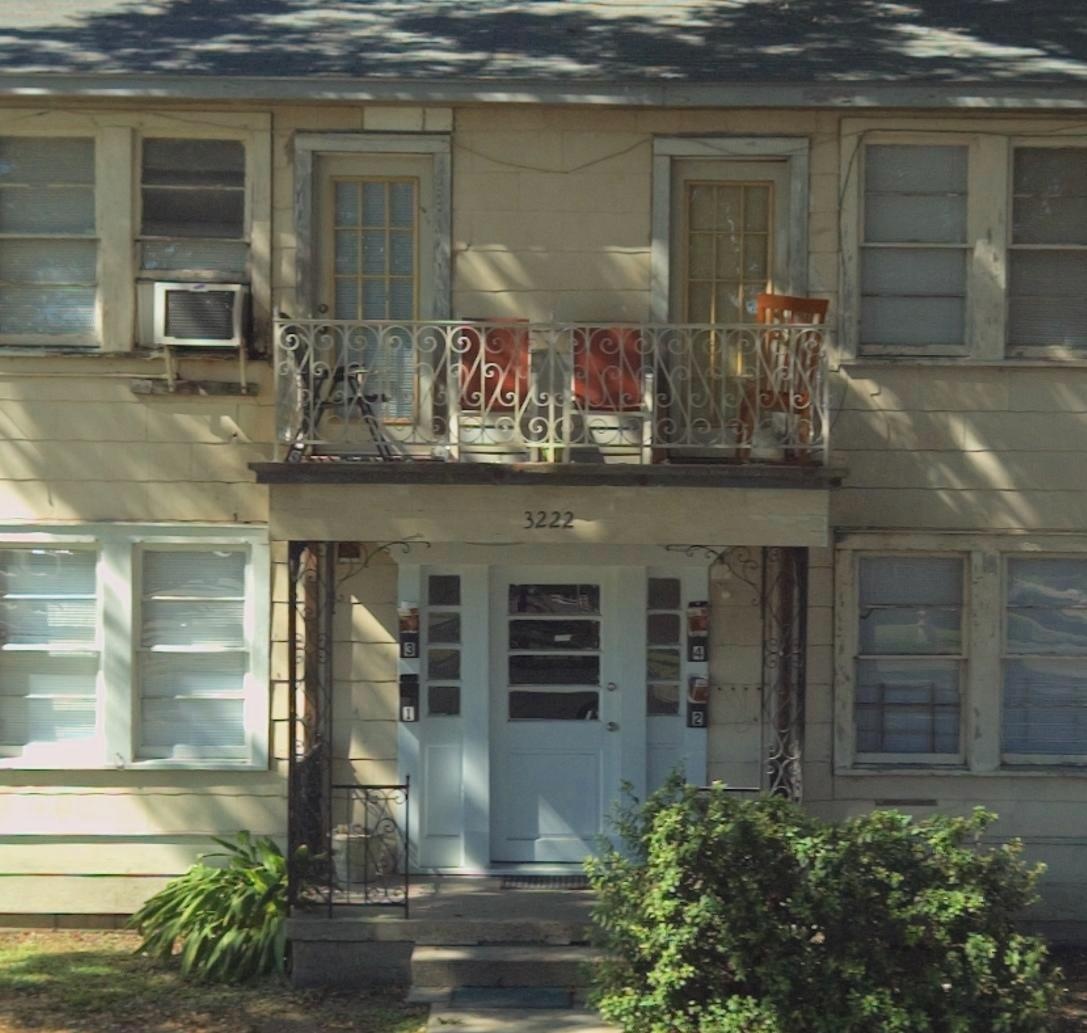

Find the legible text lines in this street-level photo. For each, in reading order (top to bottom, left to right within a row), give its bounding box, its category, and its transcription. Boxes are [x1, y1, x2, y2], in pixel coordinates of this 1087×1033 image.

[521, 509, 575, 530] StreetNumber: 3222
[404, 643, 414, 656] StreetNumber: 3
[692, 646, 704, 659] StreetNumber: 4
[404, 707, 413, 720] StreetNumber: 1
[692, 711, 703, 726] StreetNumber: 2